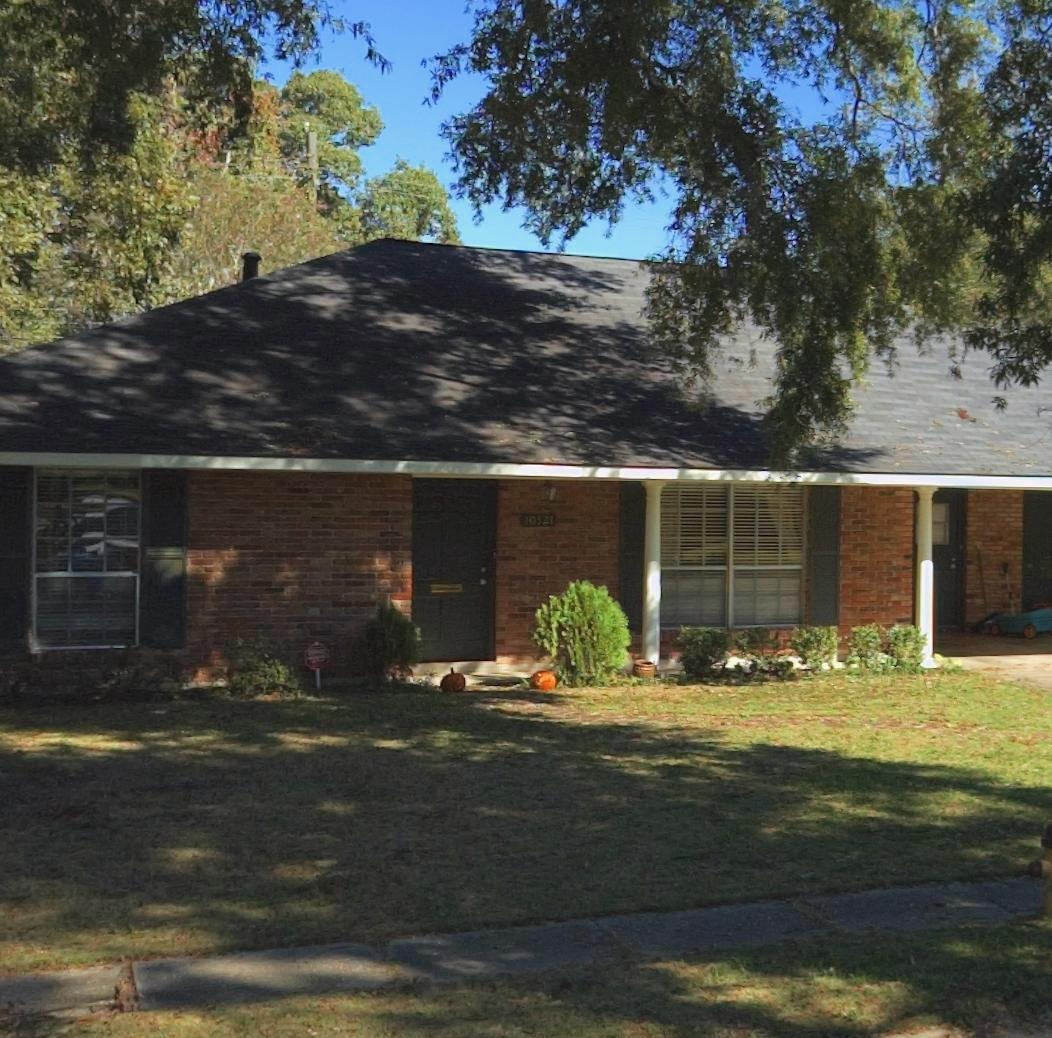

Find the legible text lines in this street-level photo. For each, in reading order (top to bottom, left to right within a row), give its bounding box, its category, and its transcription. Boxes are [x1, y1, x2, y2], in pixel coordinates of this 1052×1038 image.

[522, 513, 556, 528] StreetNumber: 10*21